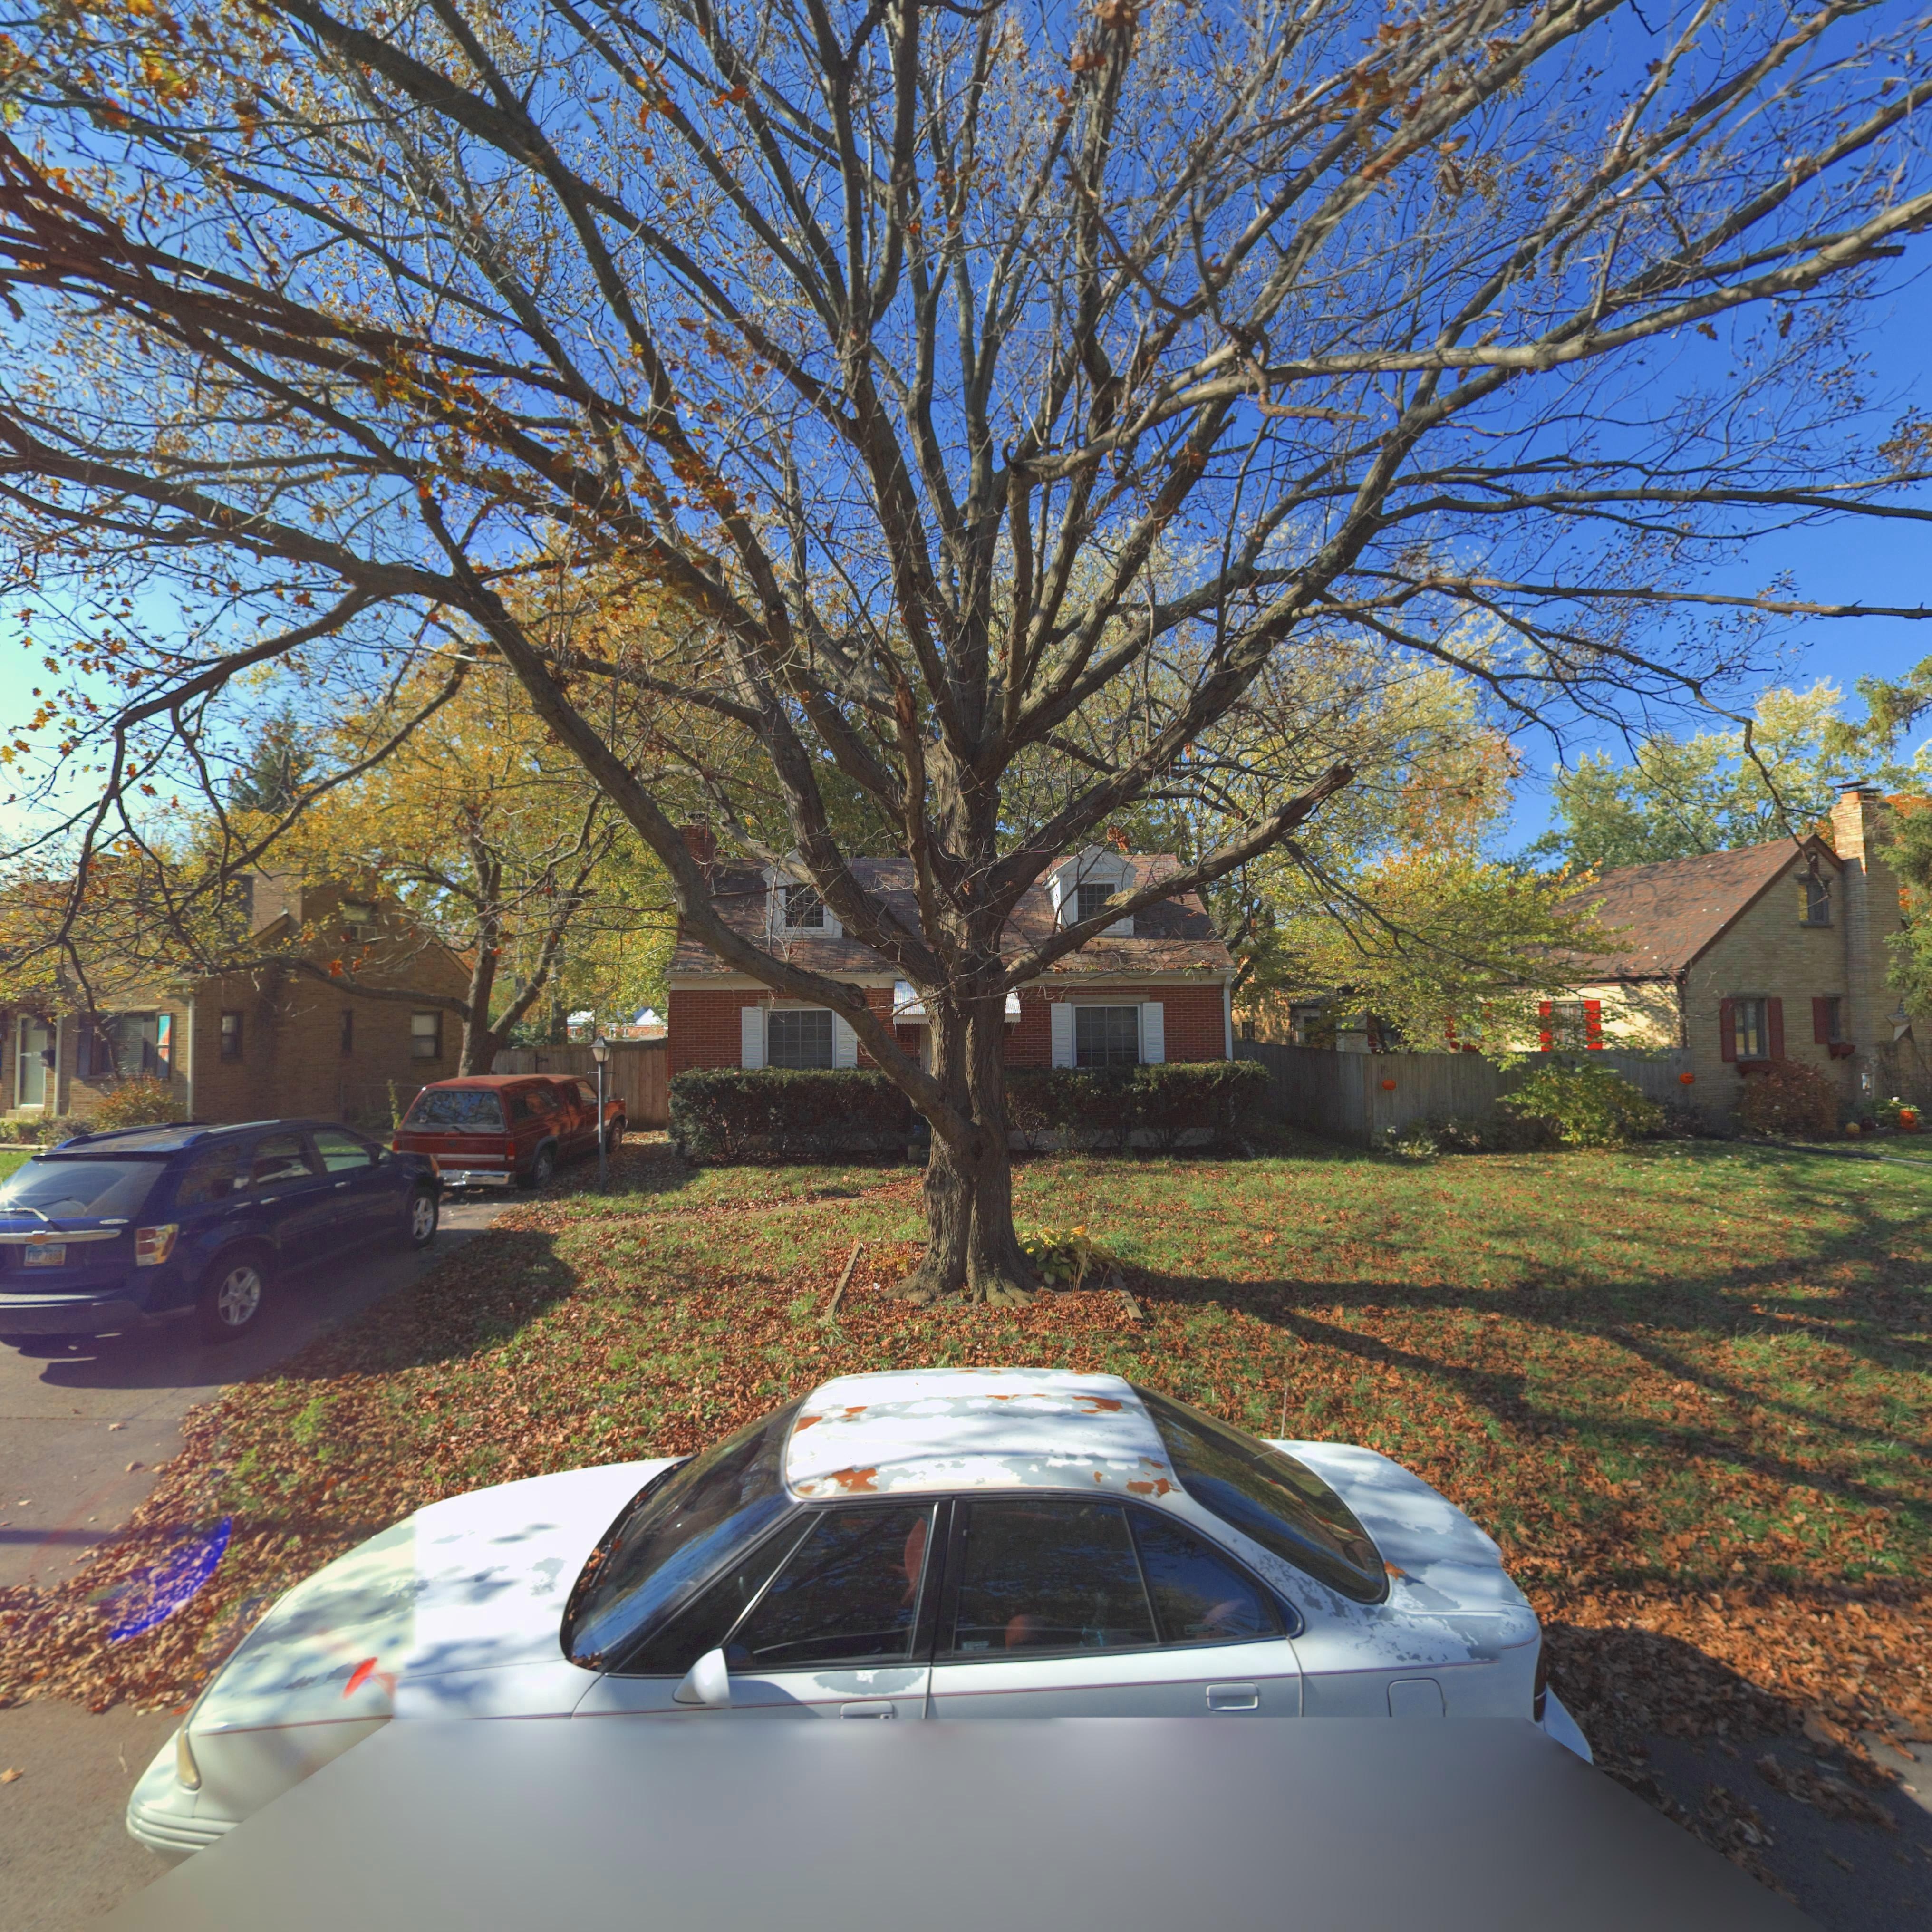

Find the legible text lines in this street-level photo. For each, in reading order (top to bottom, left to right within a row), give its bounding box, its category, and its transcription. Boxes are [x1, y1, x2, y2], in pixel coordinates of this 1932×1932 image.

[898, 1032, 917, 1042] StreetNumber: 721